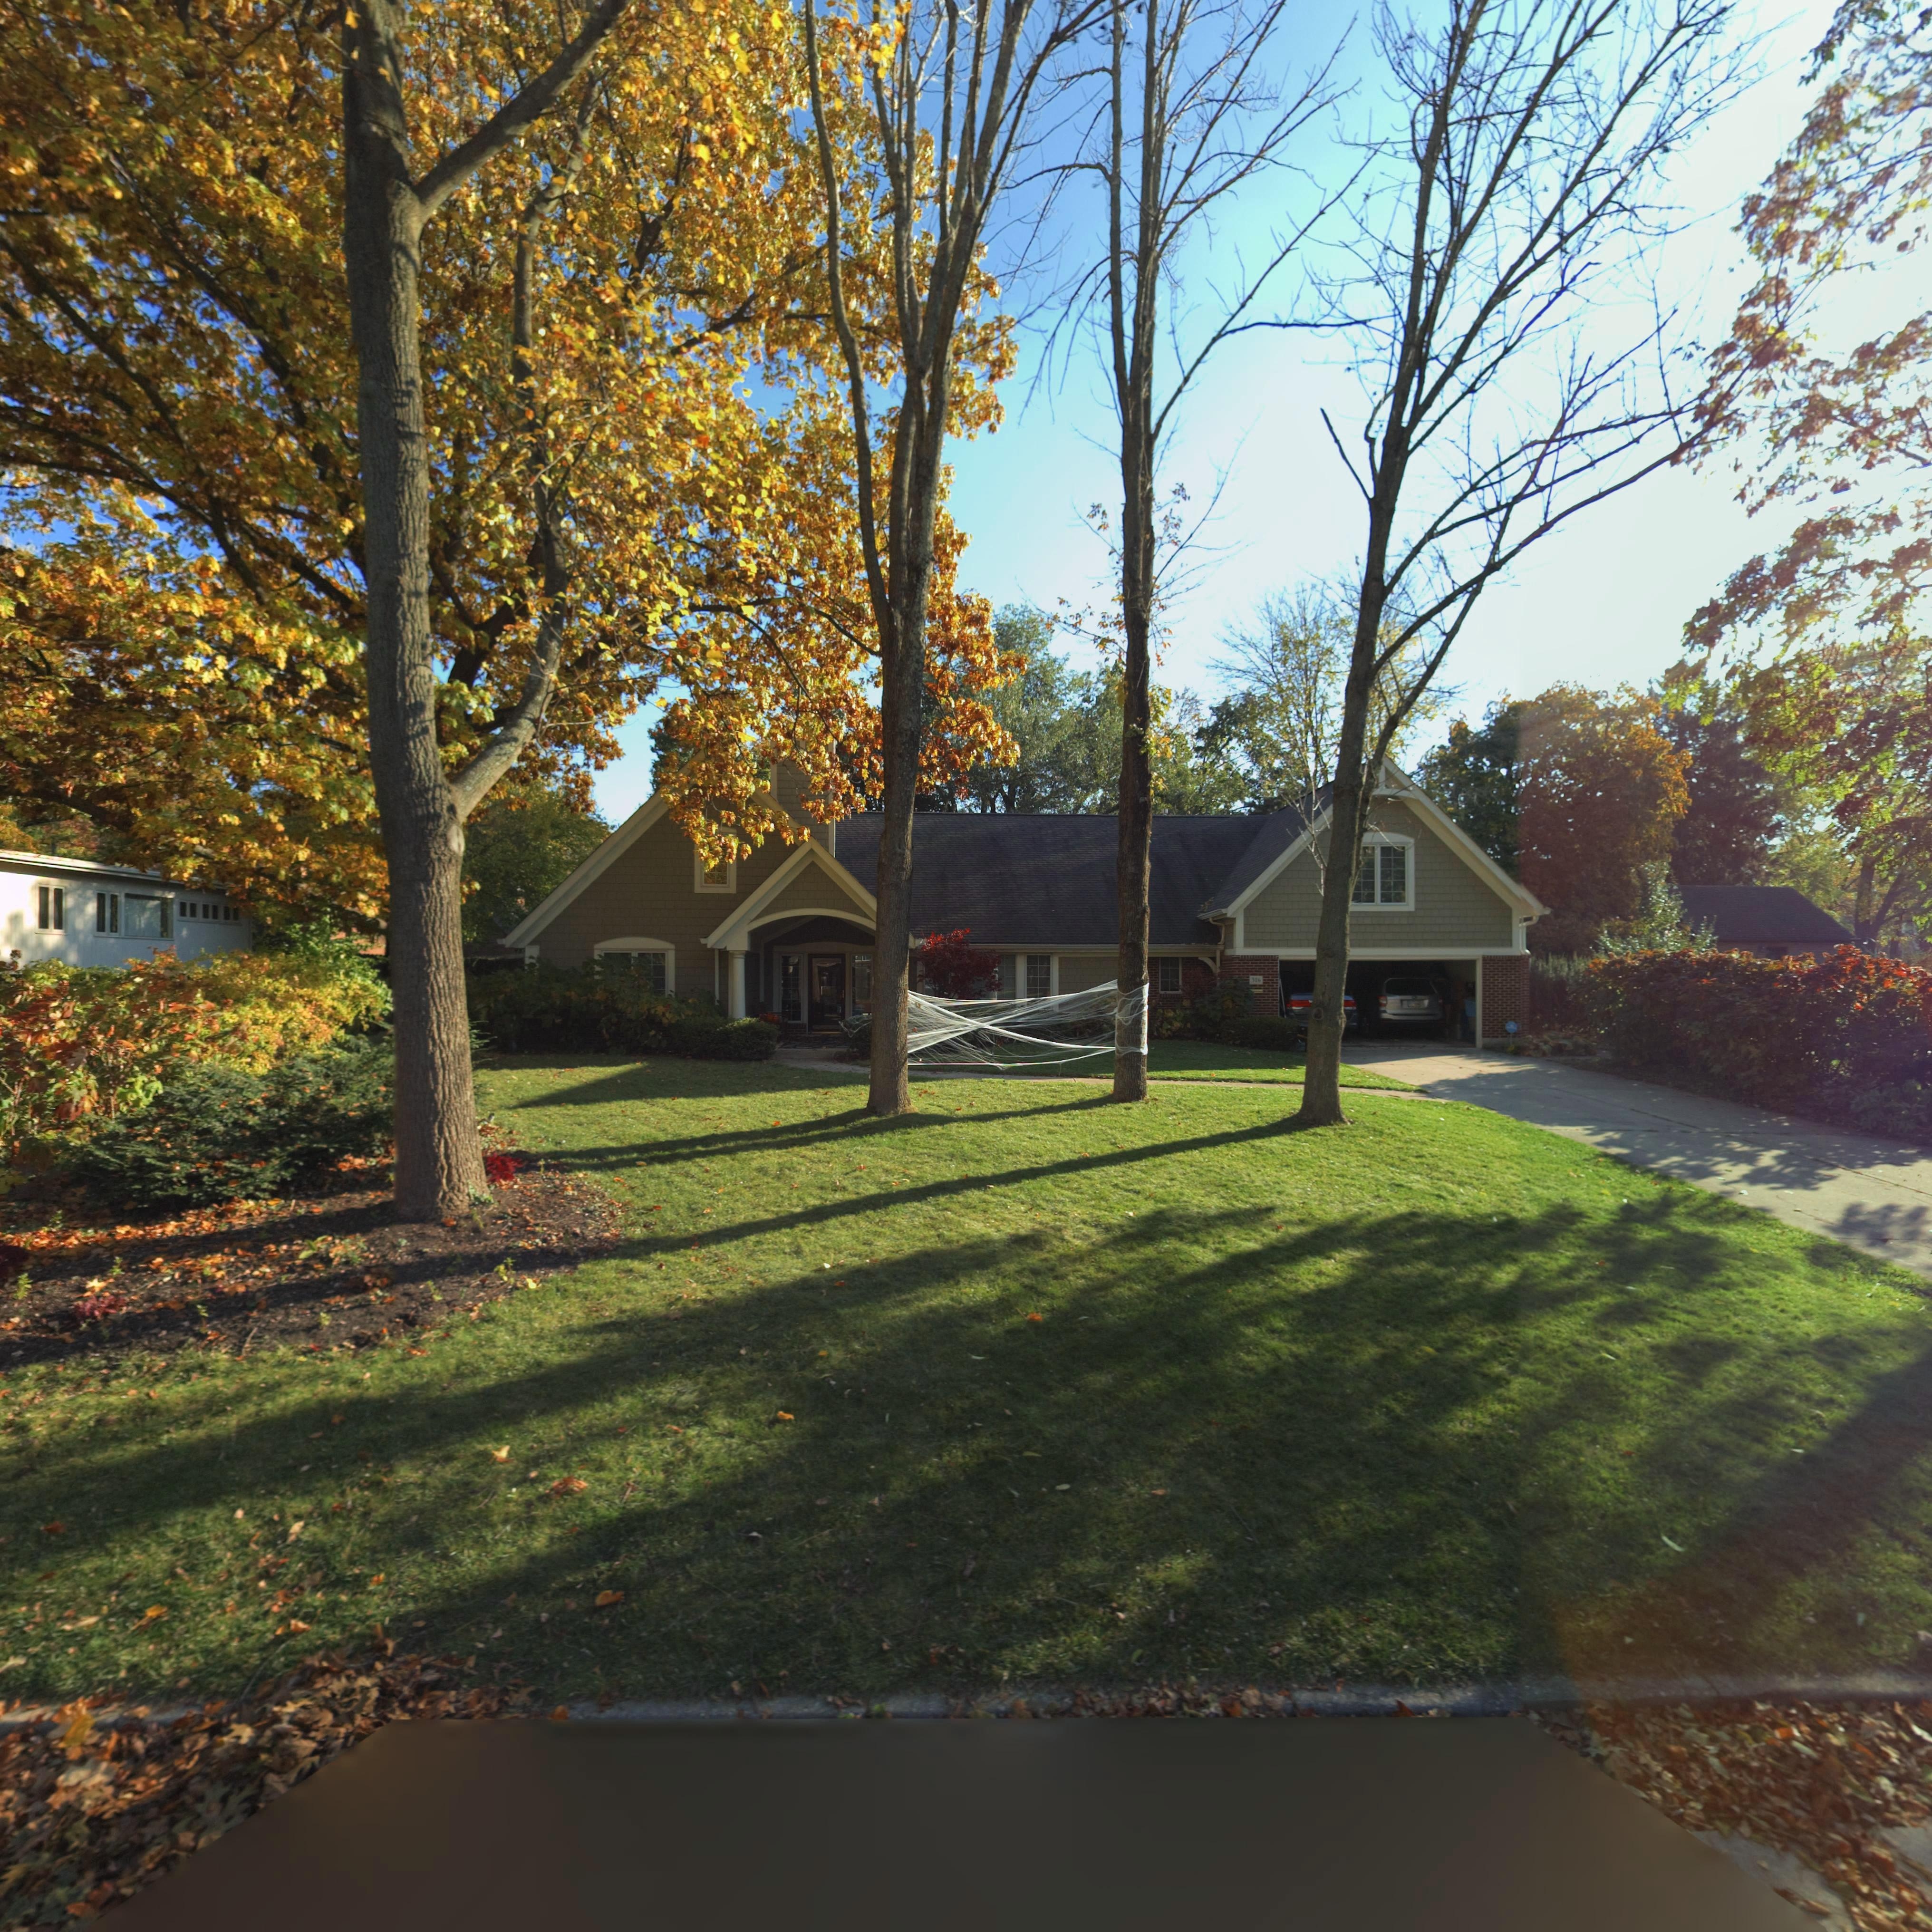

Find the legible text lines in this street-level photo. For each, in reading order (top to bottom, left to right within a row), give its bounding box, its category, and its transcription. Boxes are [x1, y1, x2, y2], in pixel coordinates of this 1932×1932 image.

[1251, 976, 1262, 984] StreetNumber: 316